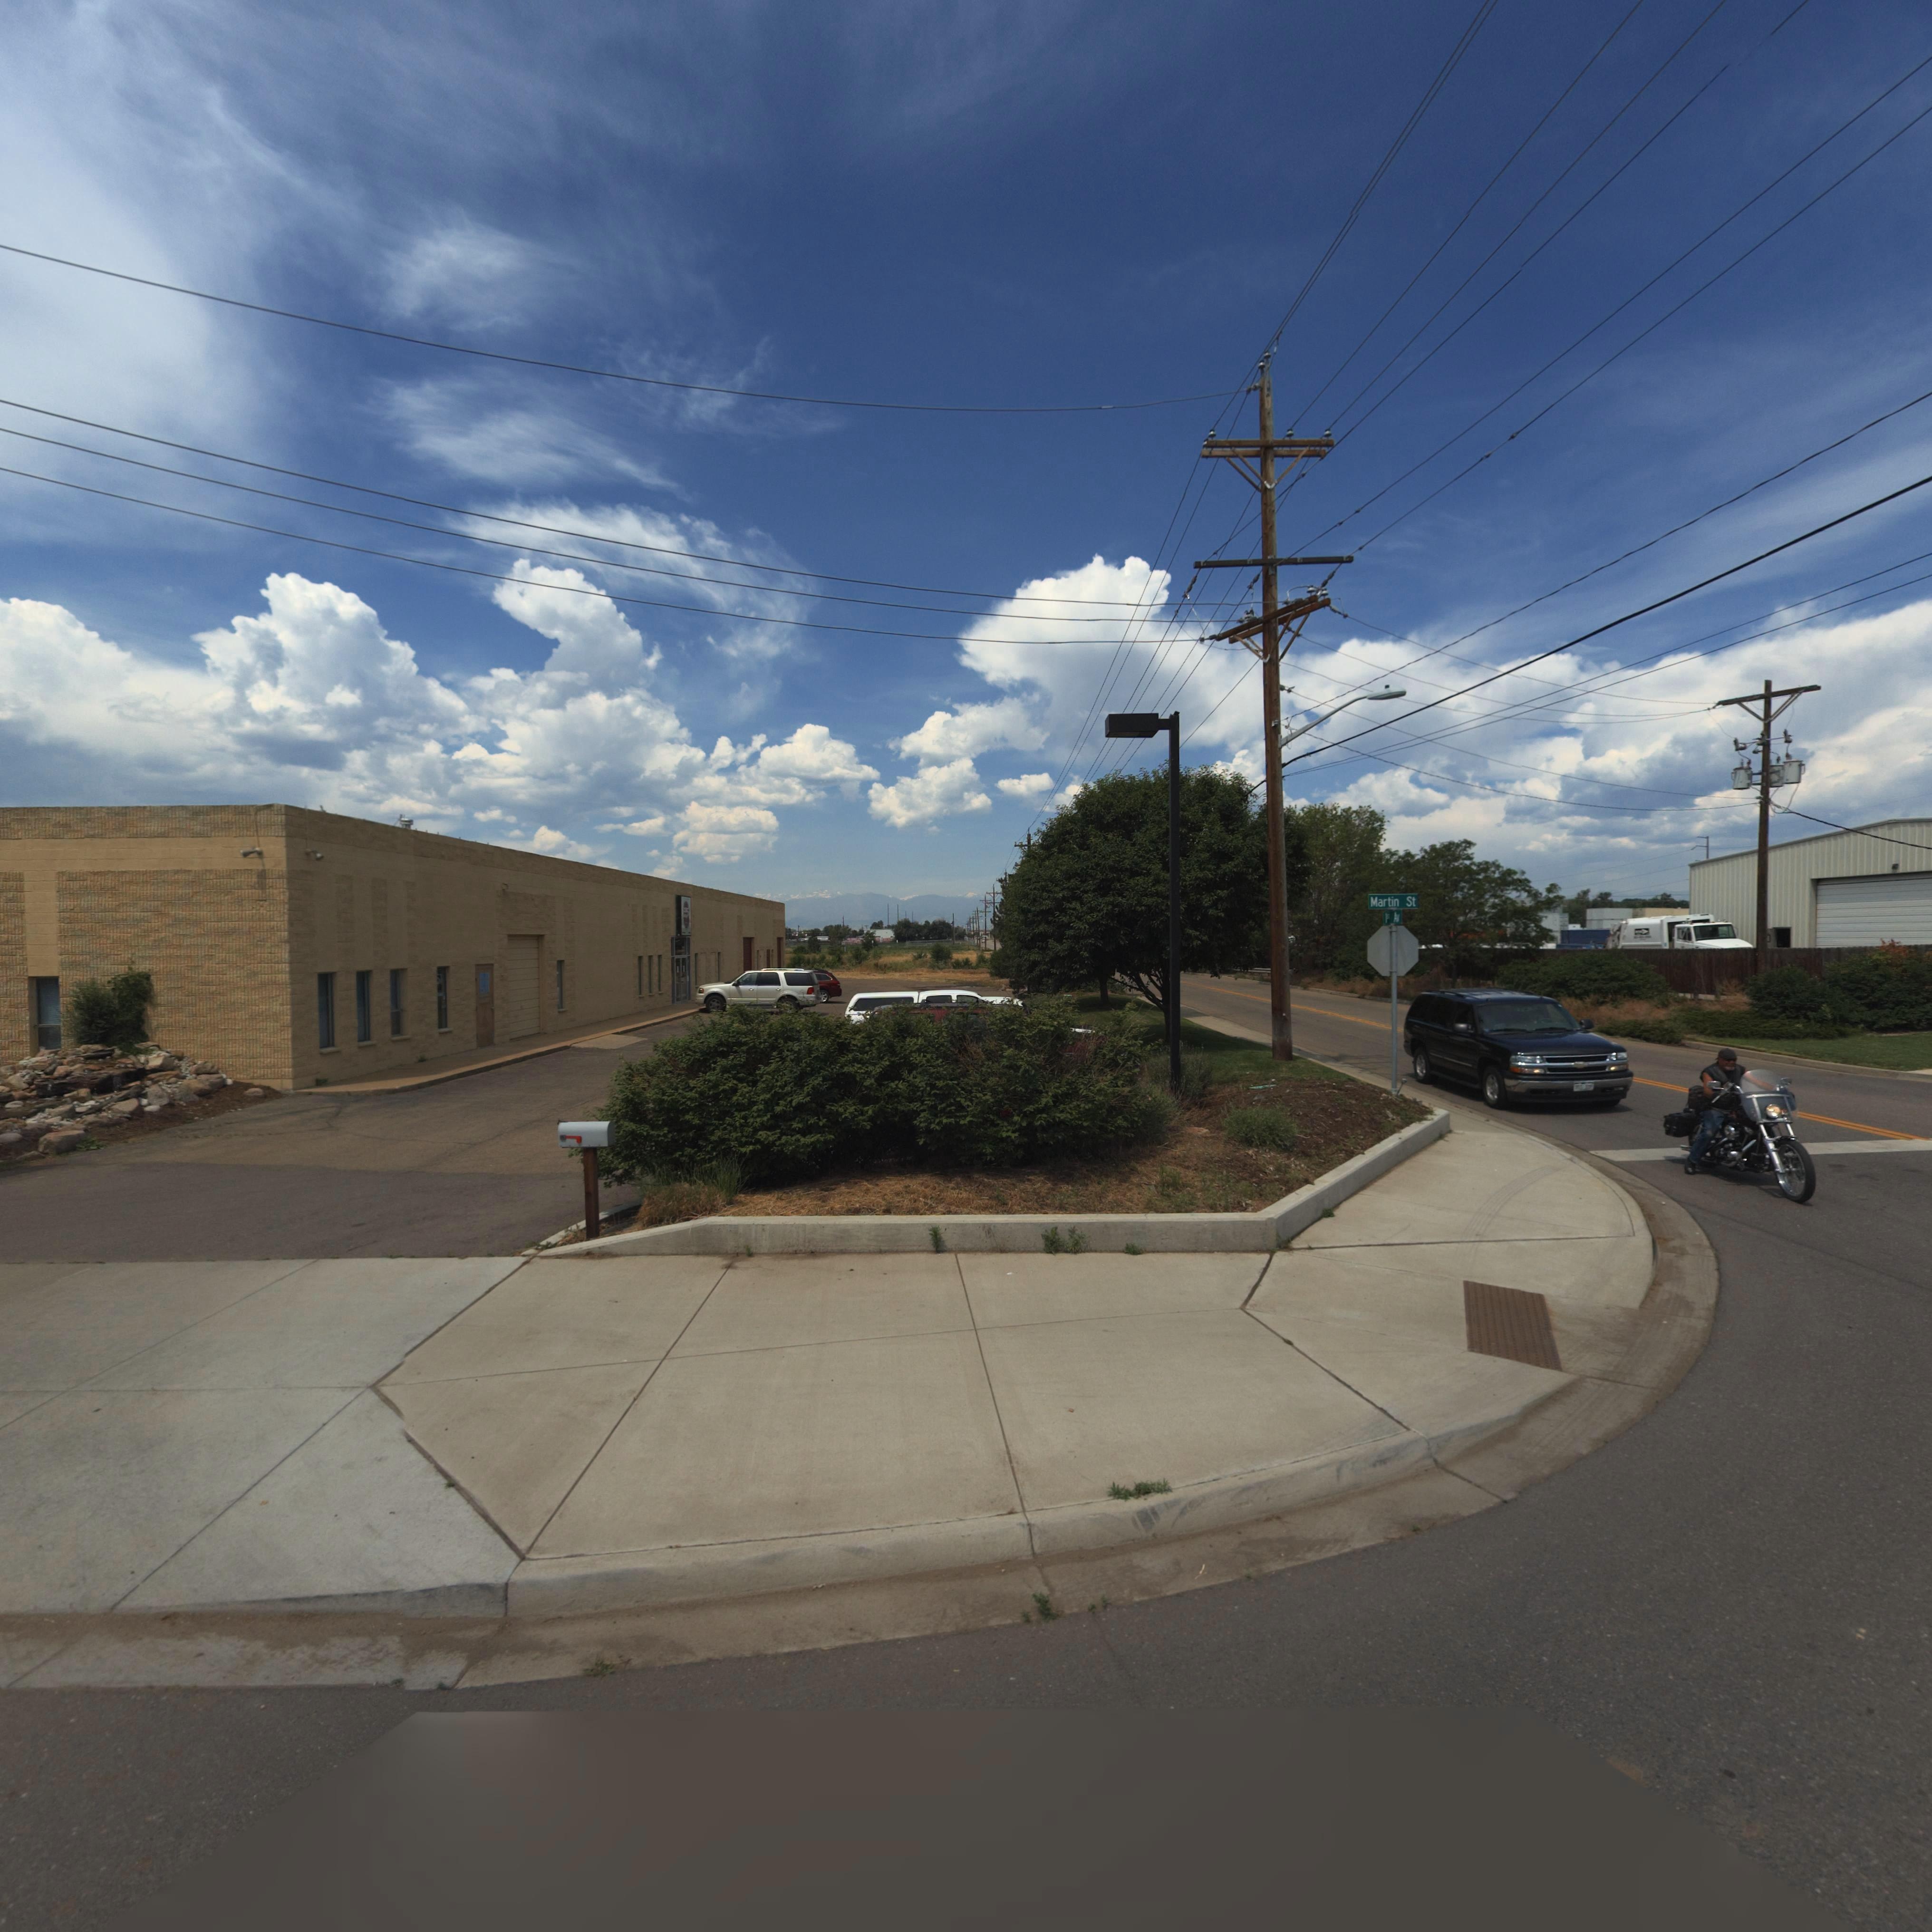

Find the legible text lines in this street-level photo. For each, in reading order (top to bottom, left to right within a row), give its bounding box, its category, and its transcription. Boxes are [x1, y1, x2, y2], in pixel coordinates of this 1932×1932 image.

[1370, 896, 1416, 907] StreetName: Martin St
[1384, 911, 1400, 924] StreetName: 1s* Av